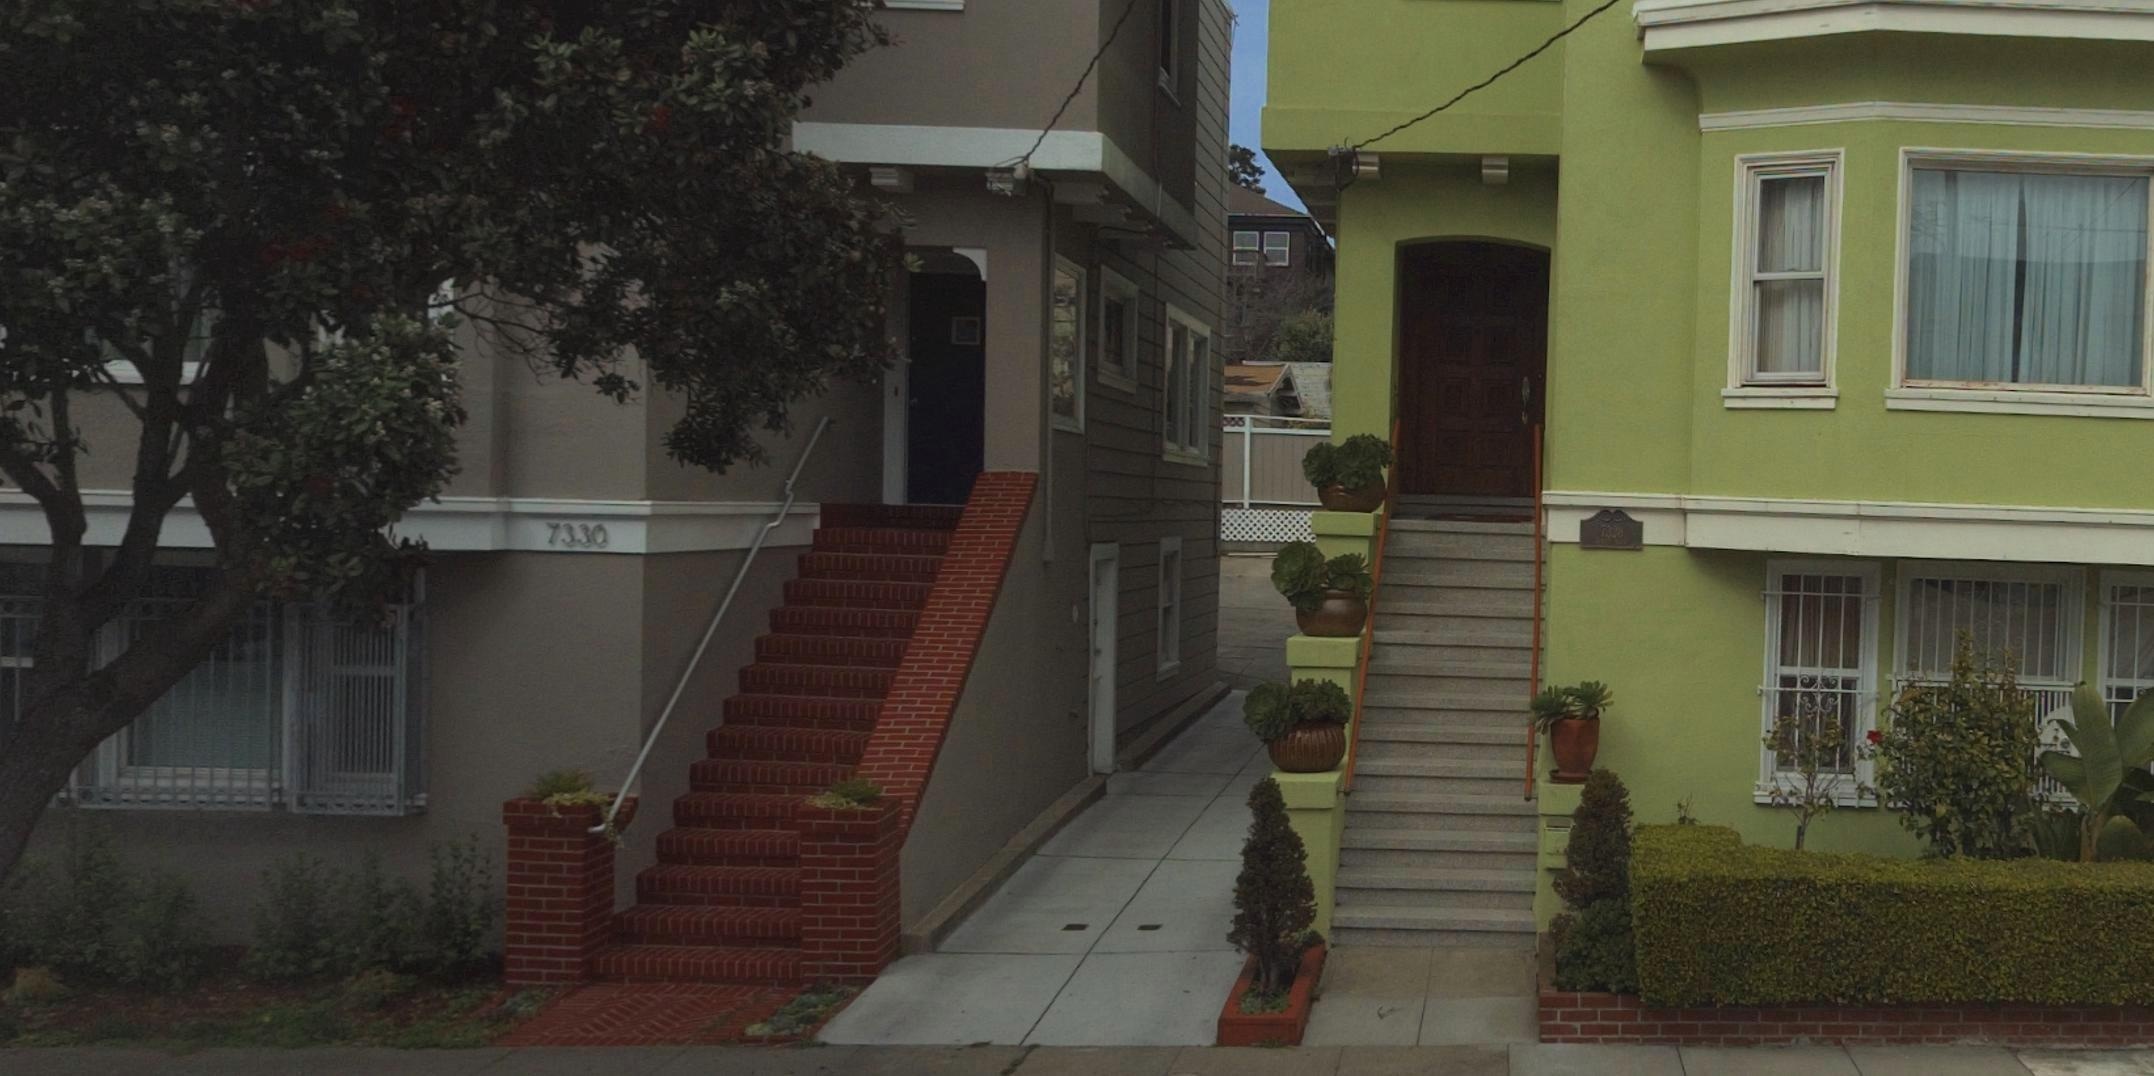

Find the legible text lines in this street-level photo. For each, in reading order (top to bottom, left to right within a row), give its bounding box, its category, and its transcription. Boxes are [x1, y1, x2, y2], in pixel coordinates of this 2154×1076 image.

[546, 521, 608, 546] StreetNumber: 7330
[1599, 524, 1624, 539] StreetNumber: 7328